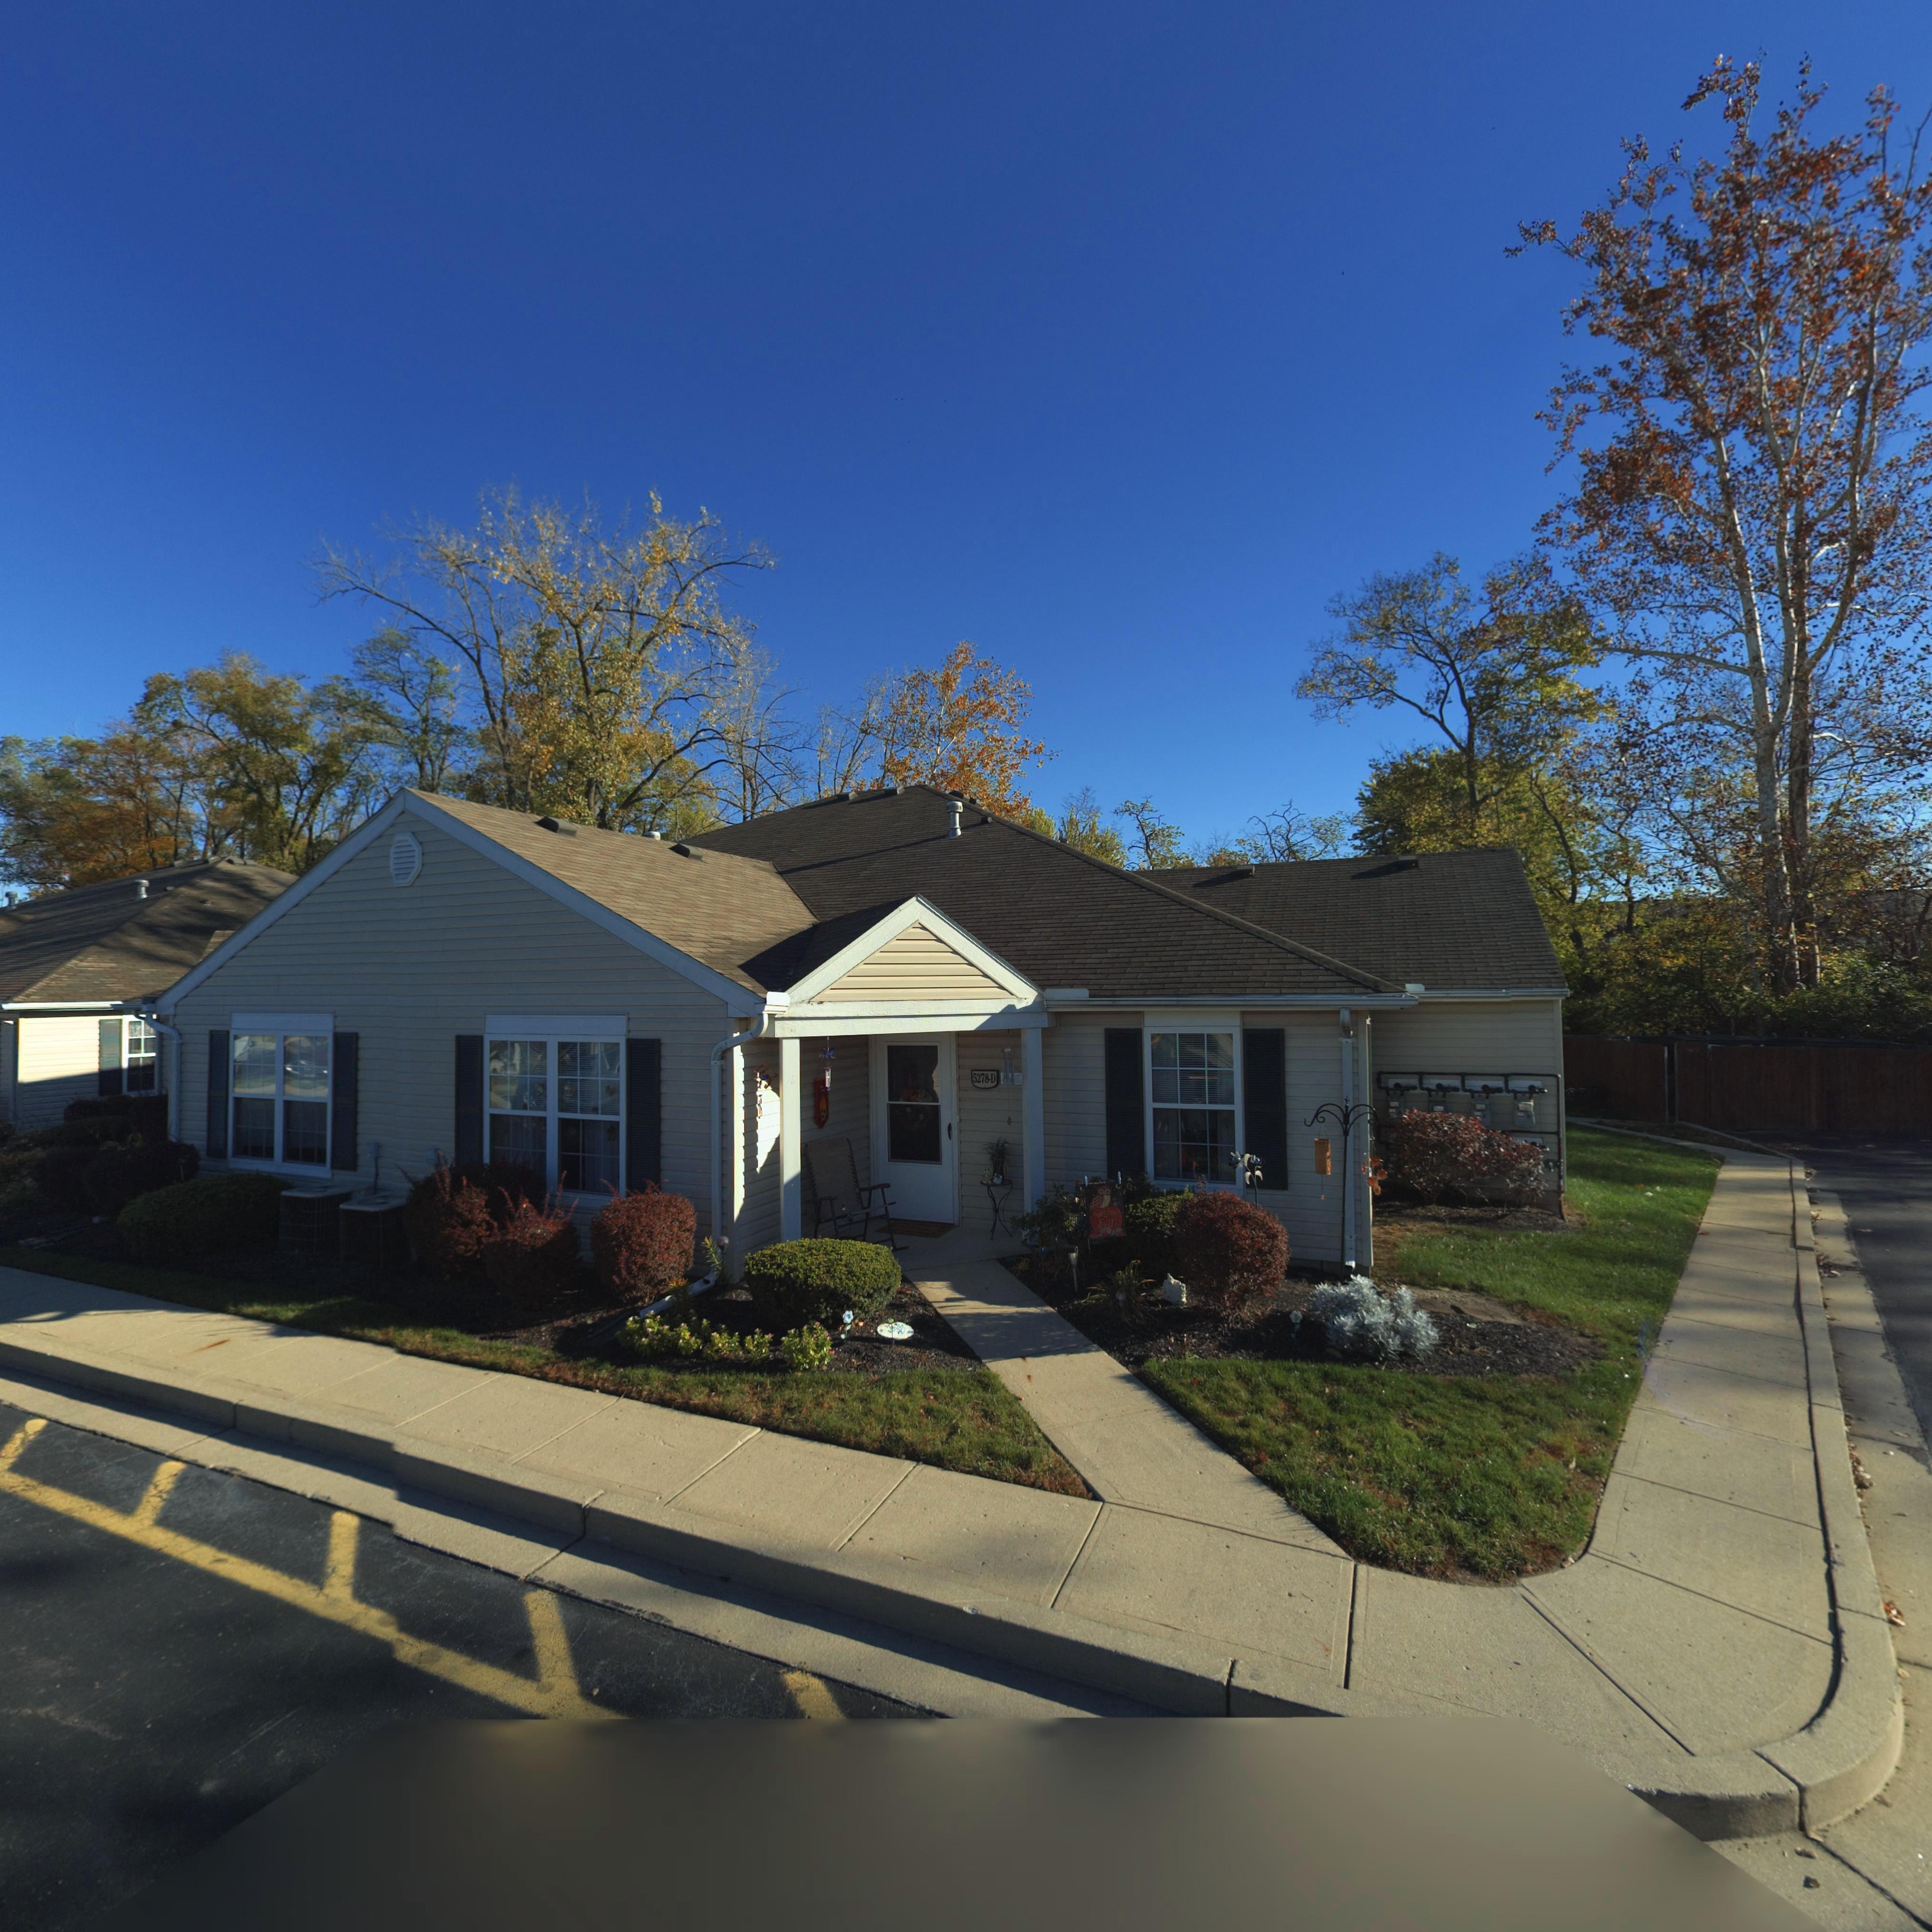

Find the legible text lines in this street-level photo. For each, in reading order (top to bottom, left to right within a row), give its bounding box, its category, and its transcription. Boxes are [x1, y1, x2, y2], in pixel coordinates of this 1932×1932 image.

[972, 1072, 996, 1084] StreetNumber: 5278-D